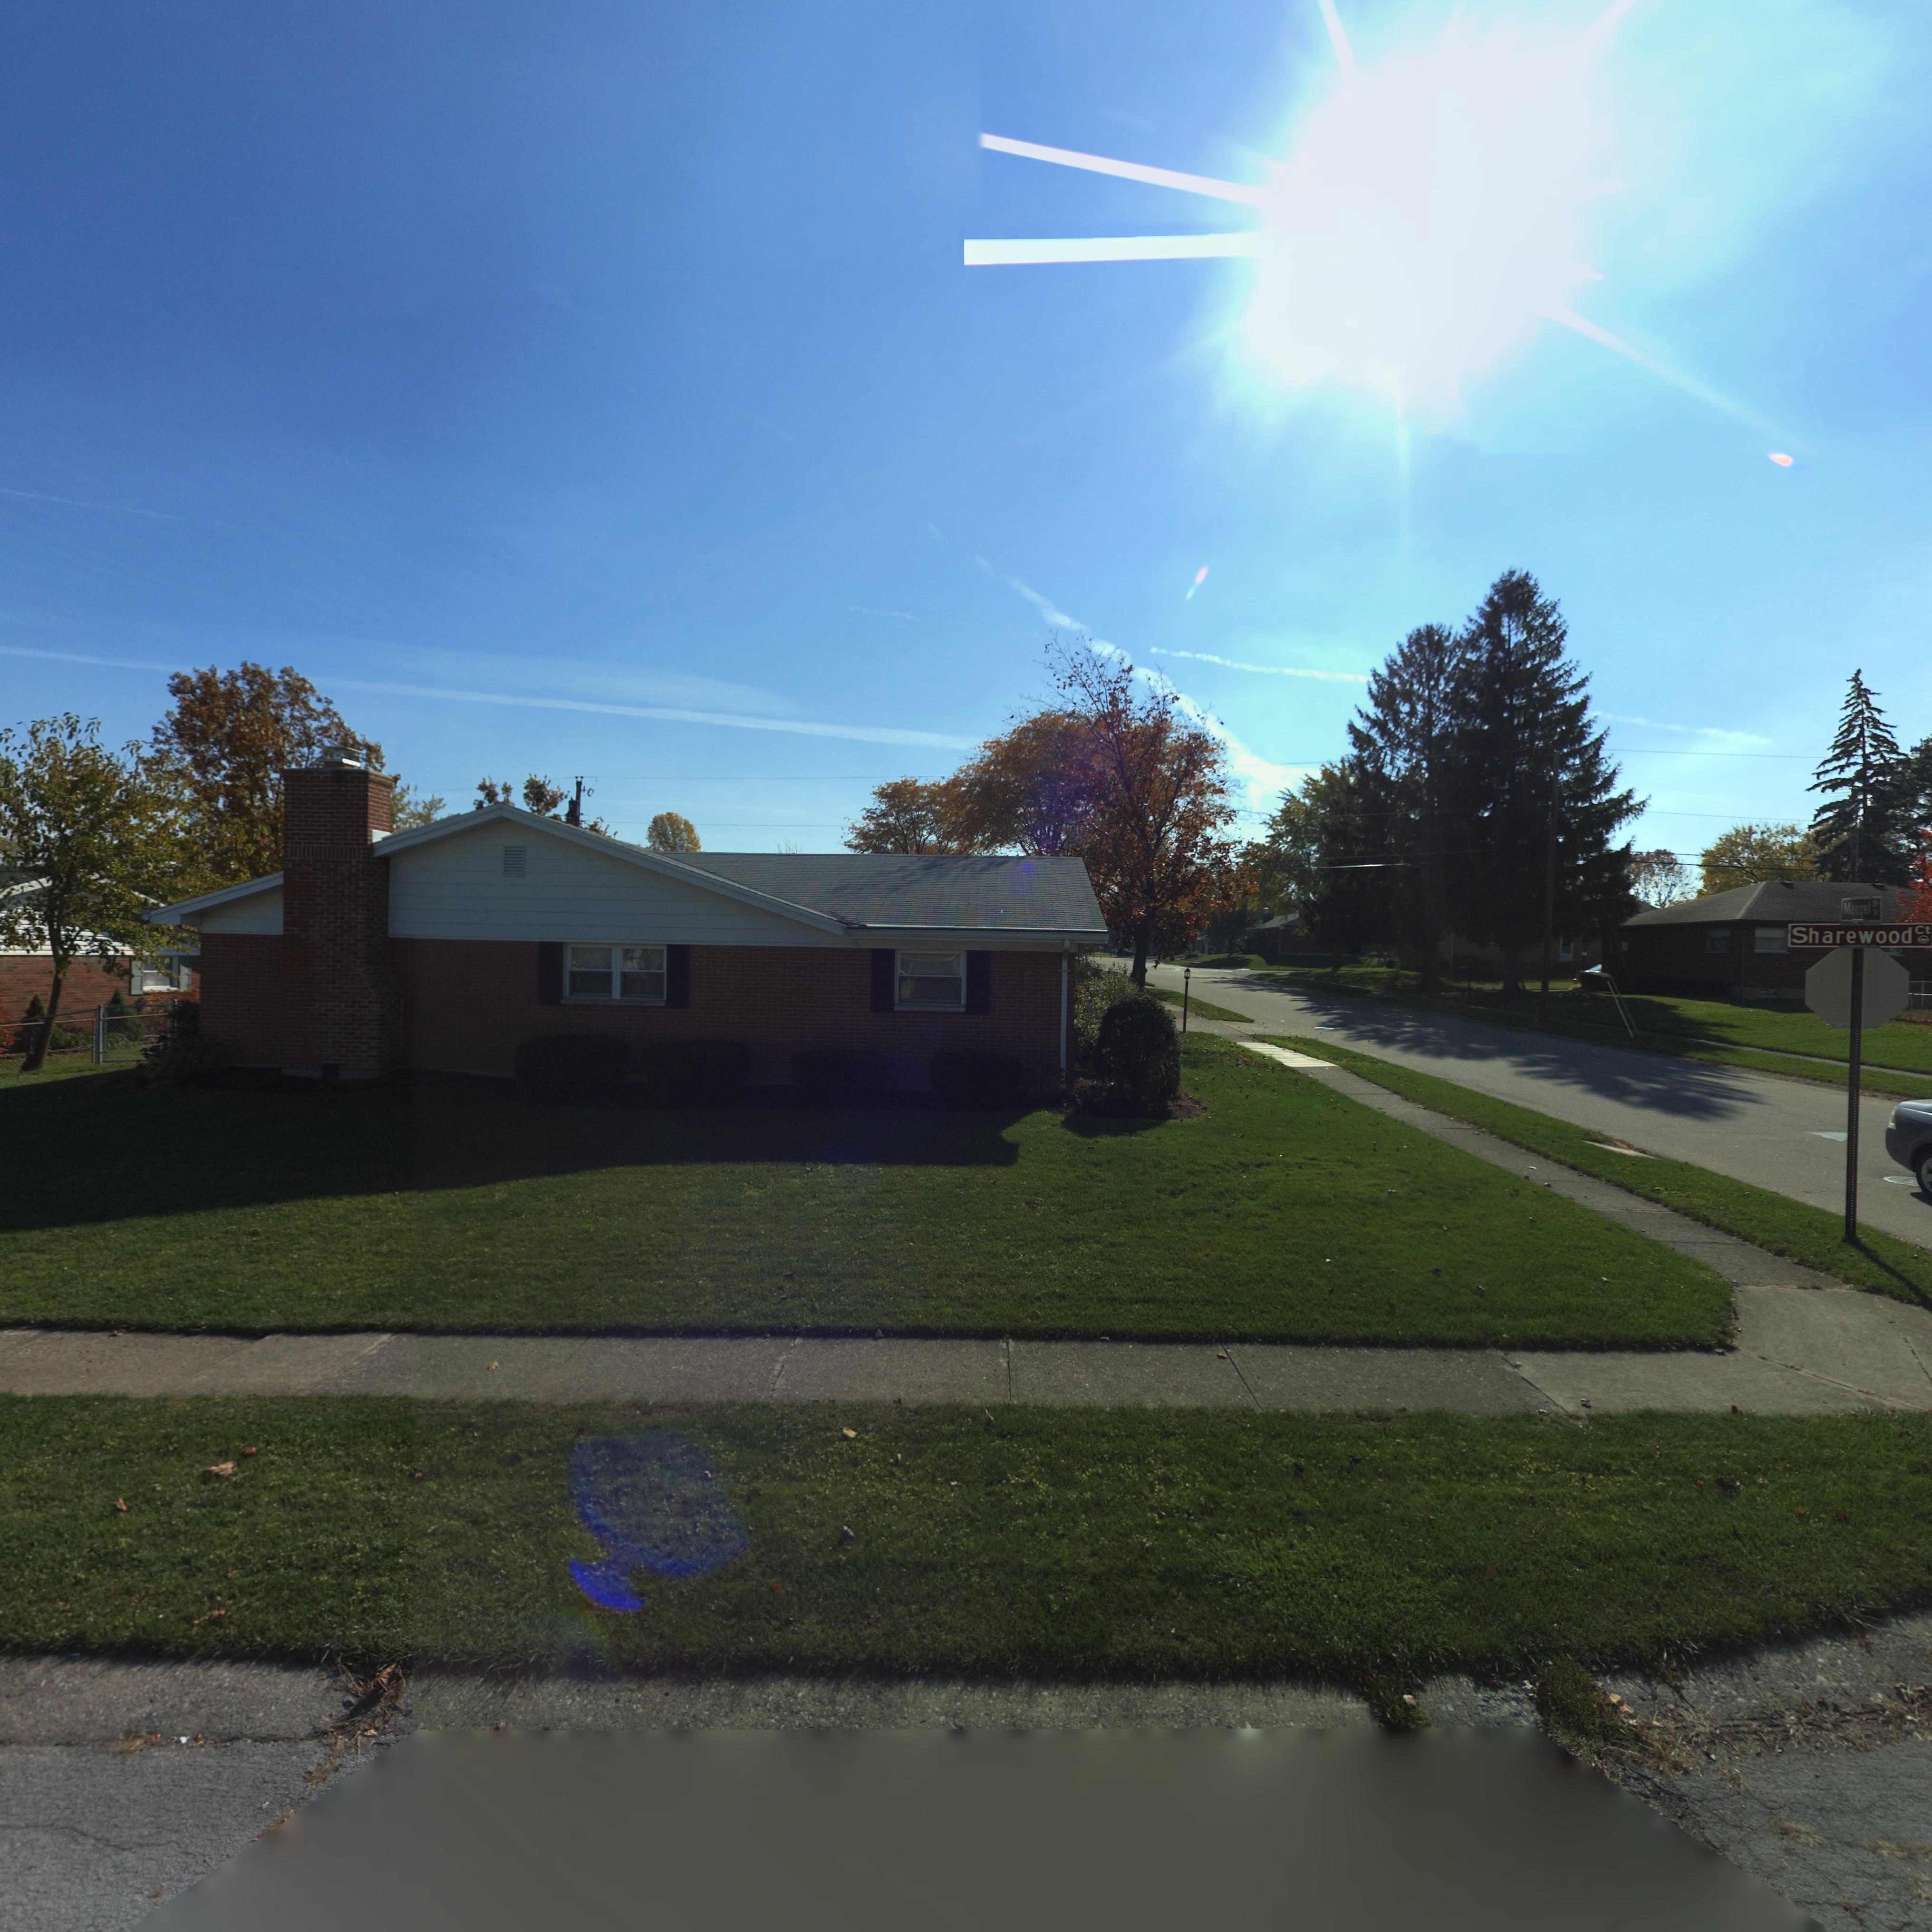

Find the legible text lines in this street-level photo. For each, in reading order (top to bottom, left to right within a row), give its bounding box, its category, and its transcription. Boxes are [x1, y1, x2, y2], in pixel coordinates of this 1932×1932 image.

[1843, 900, 1880, 920] StreetName: Mengel D*
[1791, 925, 1931, 945] StreetName: Sharewood Ct